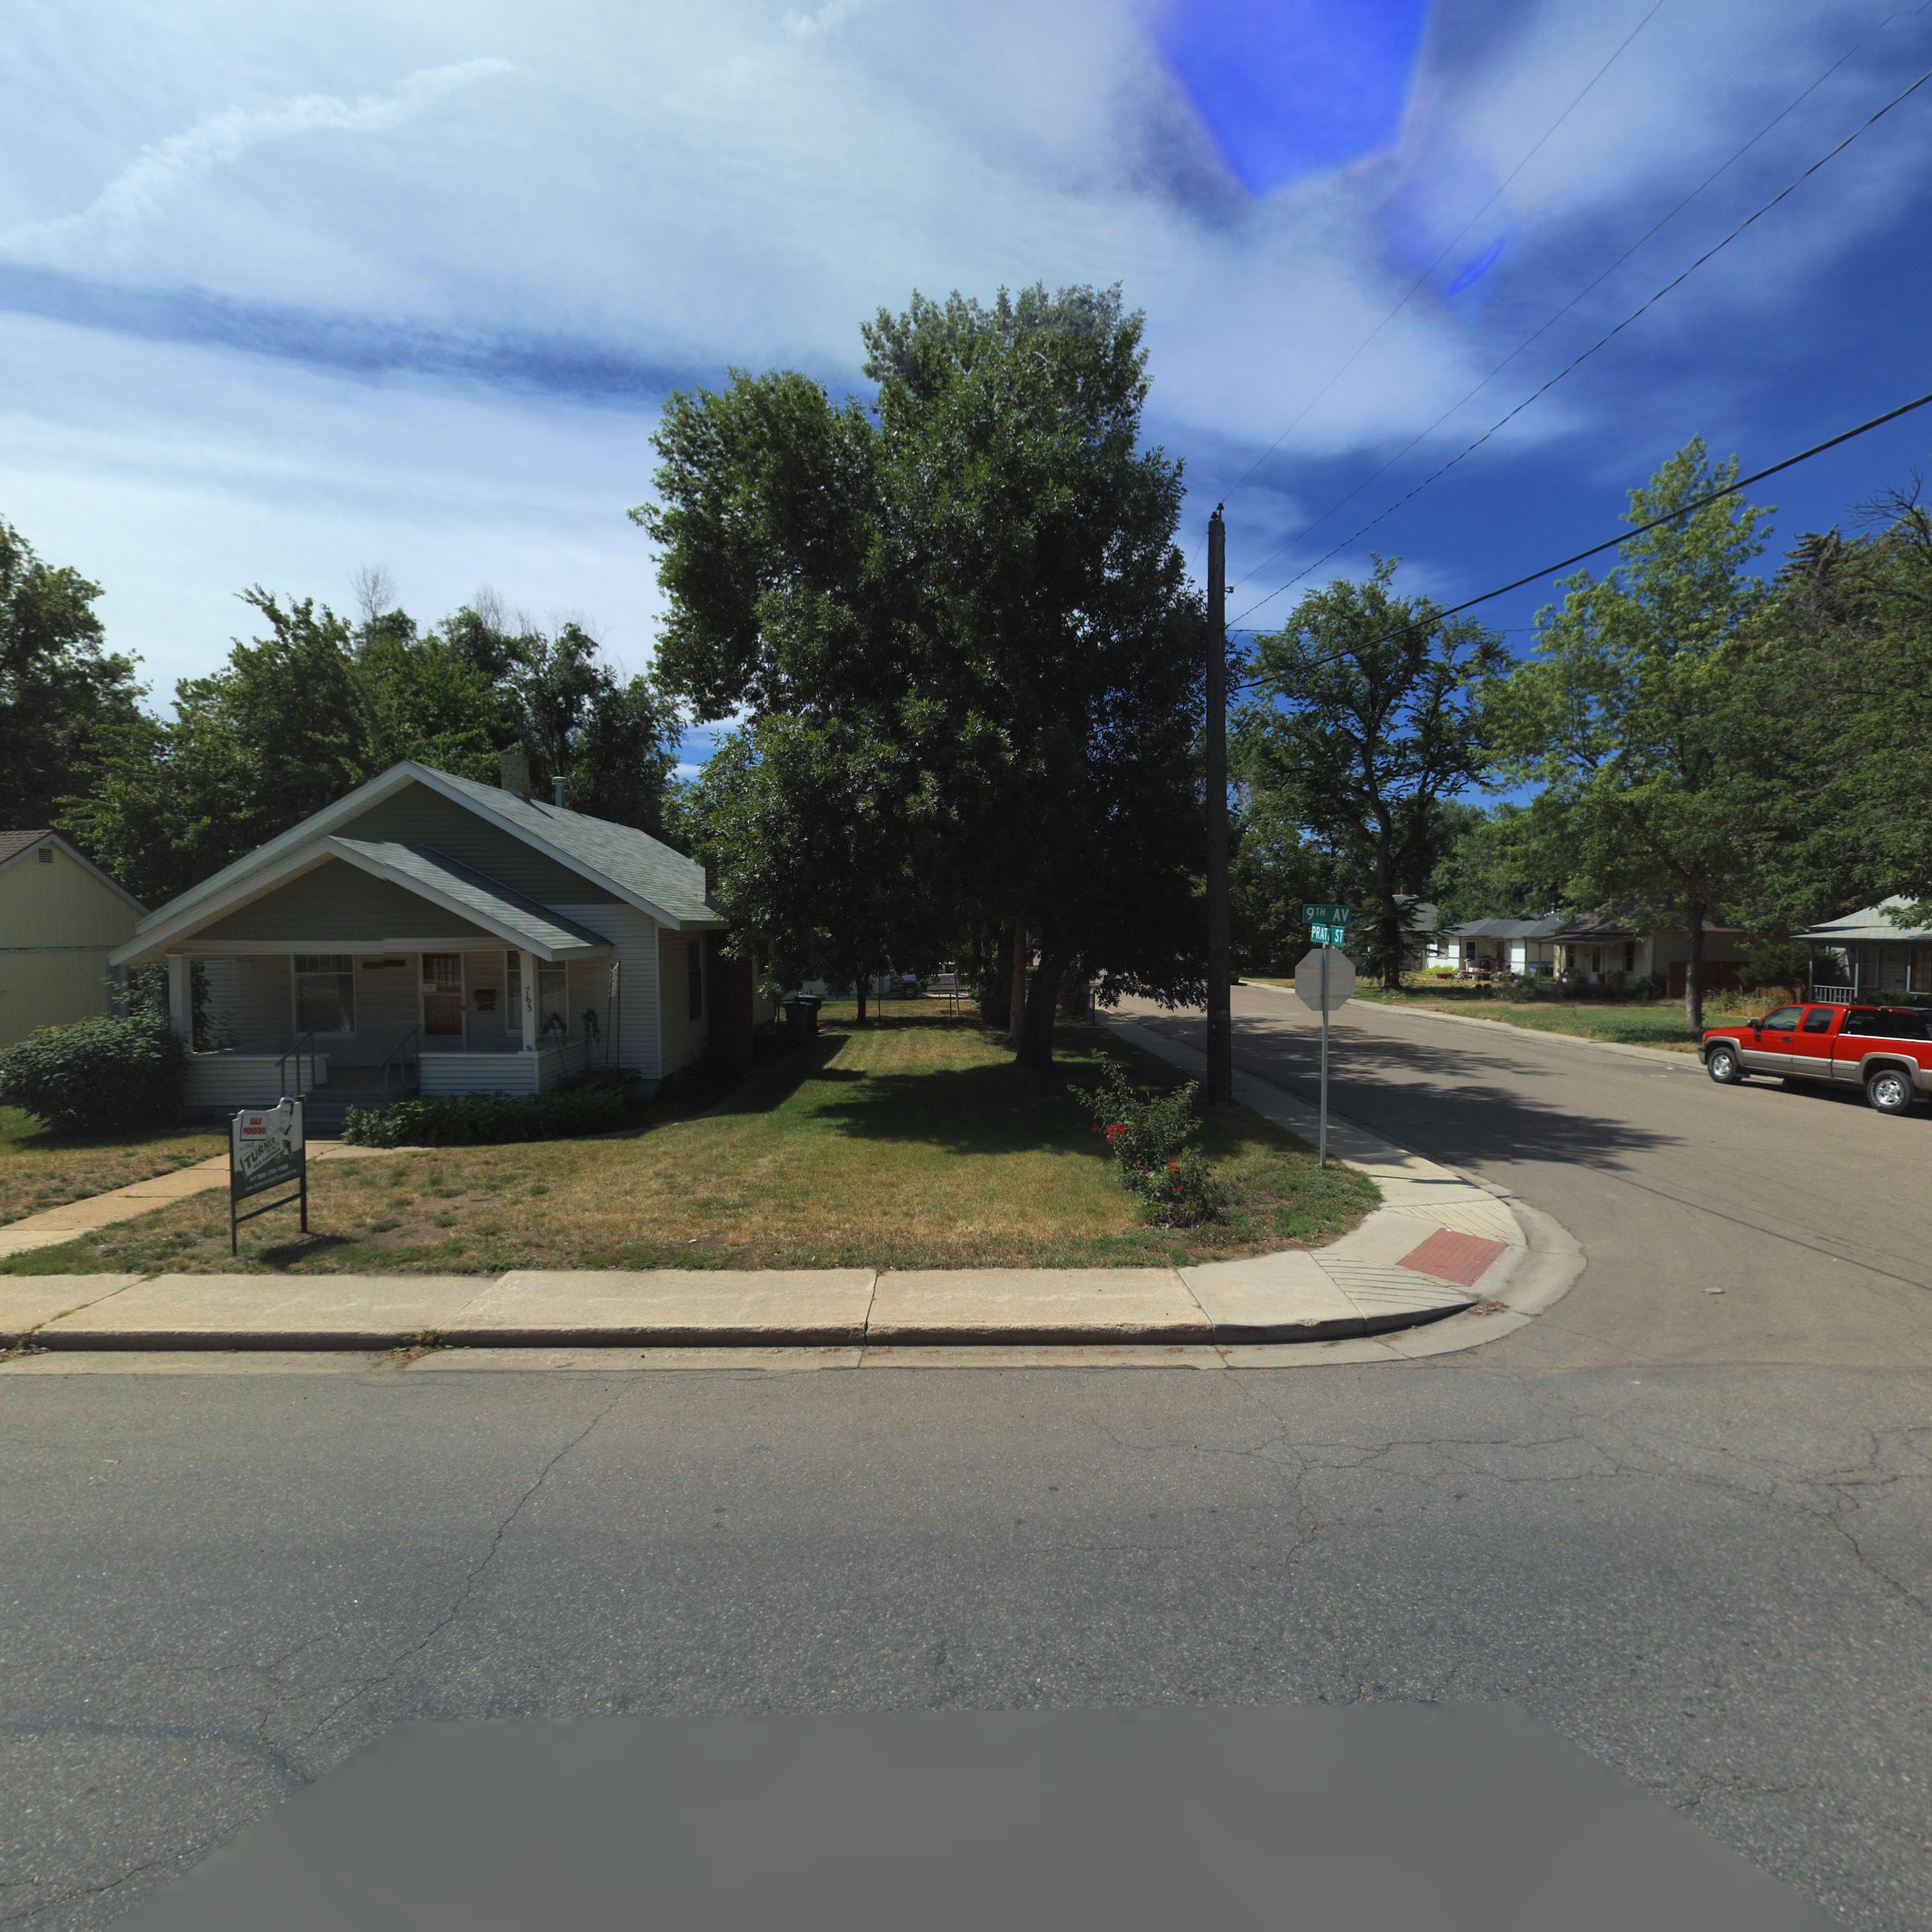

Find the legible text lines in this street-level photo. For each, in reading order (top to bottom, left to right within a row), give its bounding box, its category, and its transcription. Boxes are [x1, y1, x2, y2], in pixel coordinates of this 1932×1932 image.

[1305, 907, 1351, 922] StreetName: 9TH AV
[1310, 925, 1344, 943] StreetName: PRATT ST
[524, 985, 532, 1013] StreetNumber: 763